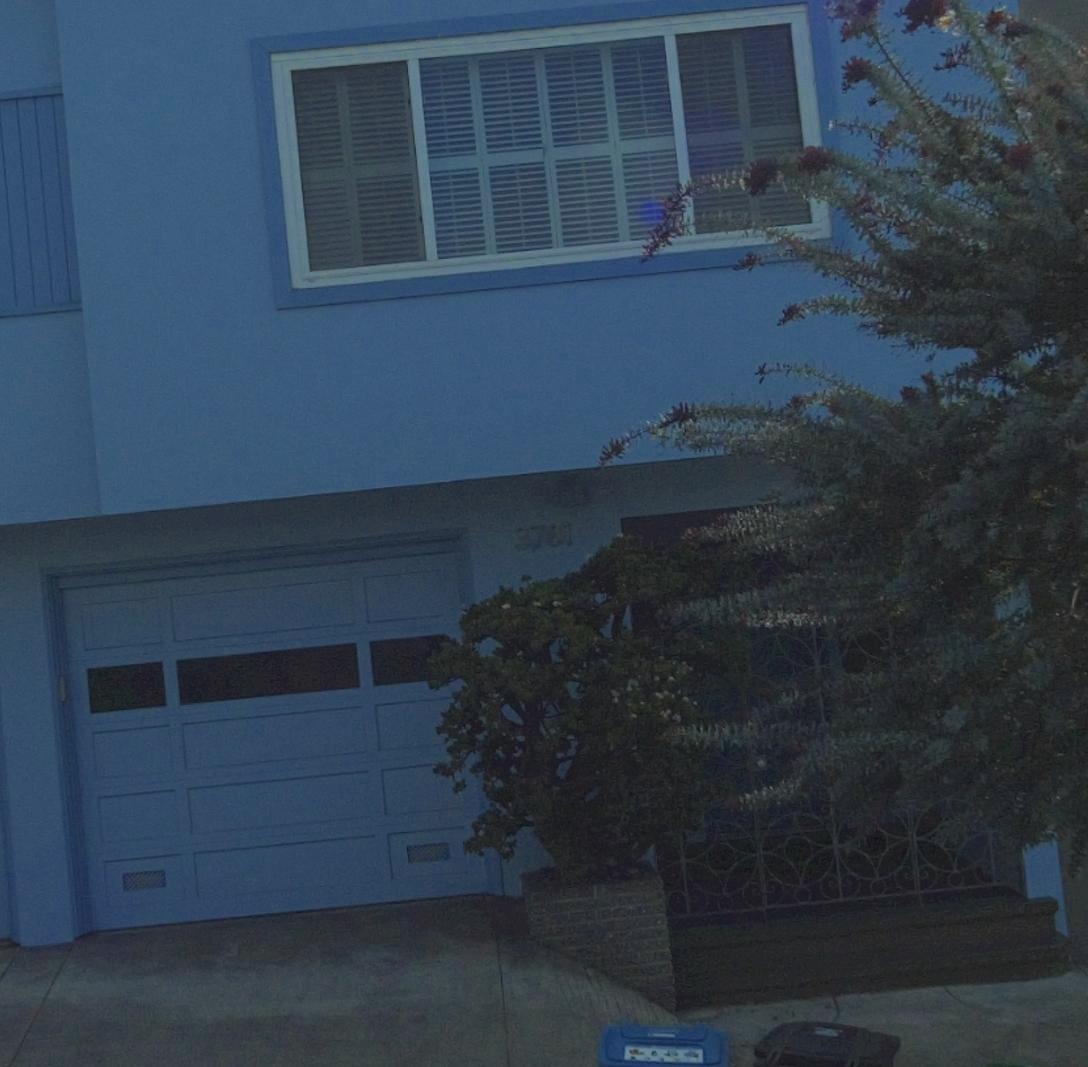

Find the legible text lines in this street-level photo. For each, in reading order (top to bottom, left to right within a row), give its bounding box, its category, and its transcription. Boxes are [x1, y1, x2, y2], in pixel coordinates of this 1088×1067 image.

[512, 521, 574, 553] StreetNumber: 3781